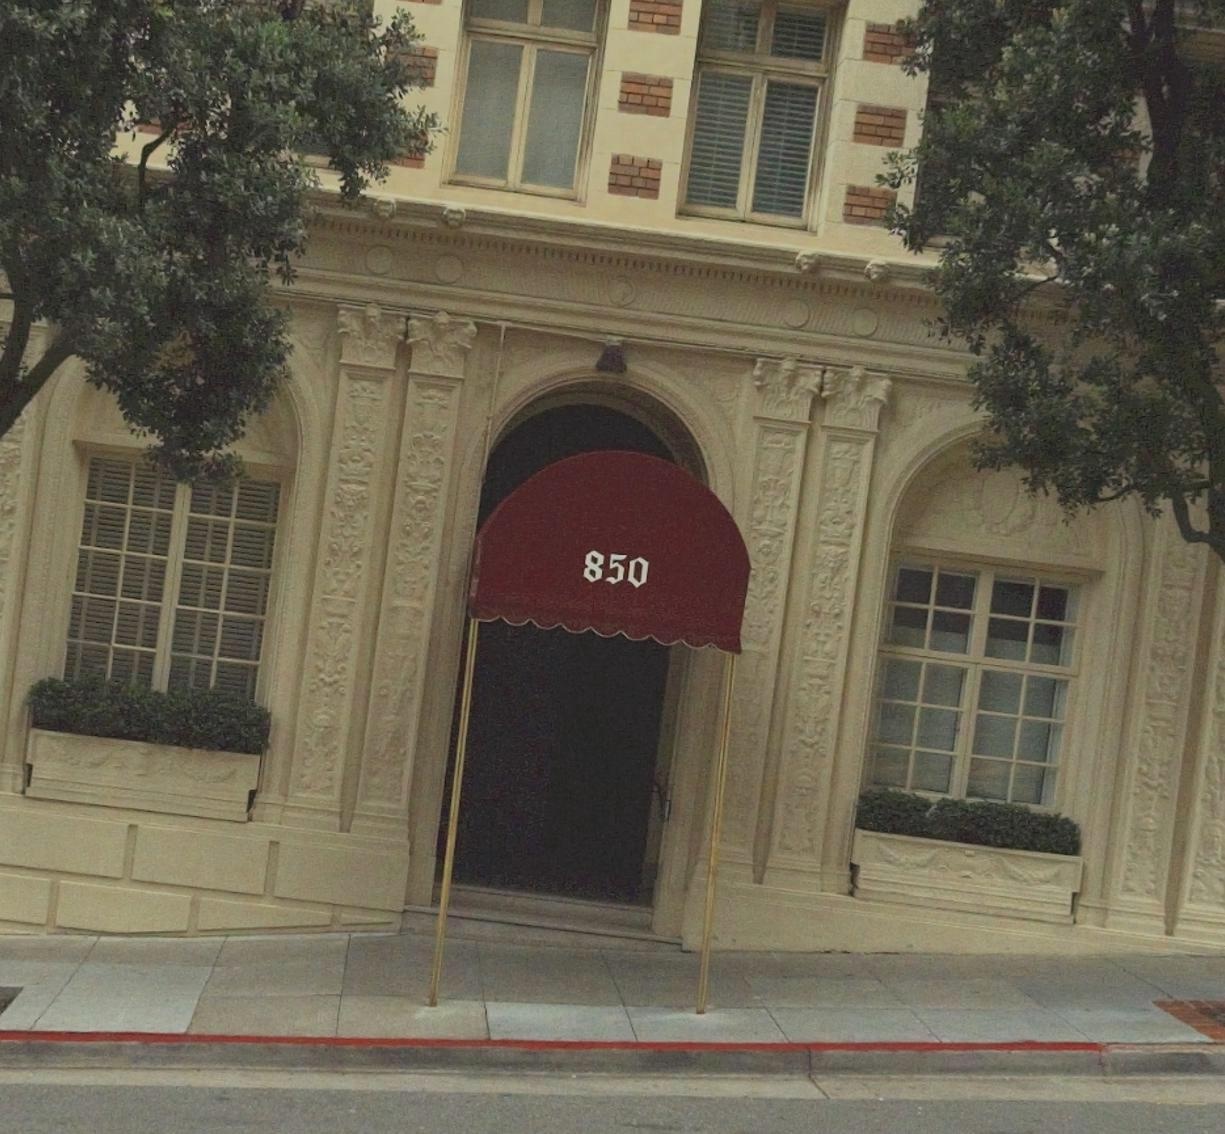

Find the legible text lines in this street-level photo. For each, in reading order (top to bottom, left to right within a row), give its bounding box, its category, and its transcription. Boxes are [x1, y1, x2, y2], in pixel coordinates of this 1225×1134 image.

[580, 547, 651, 590] StreetNumber: 850